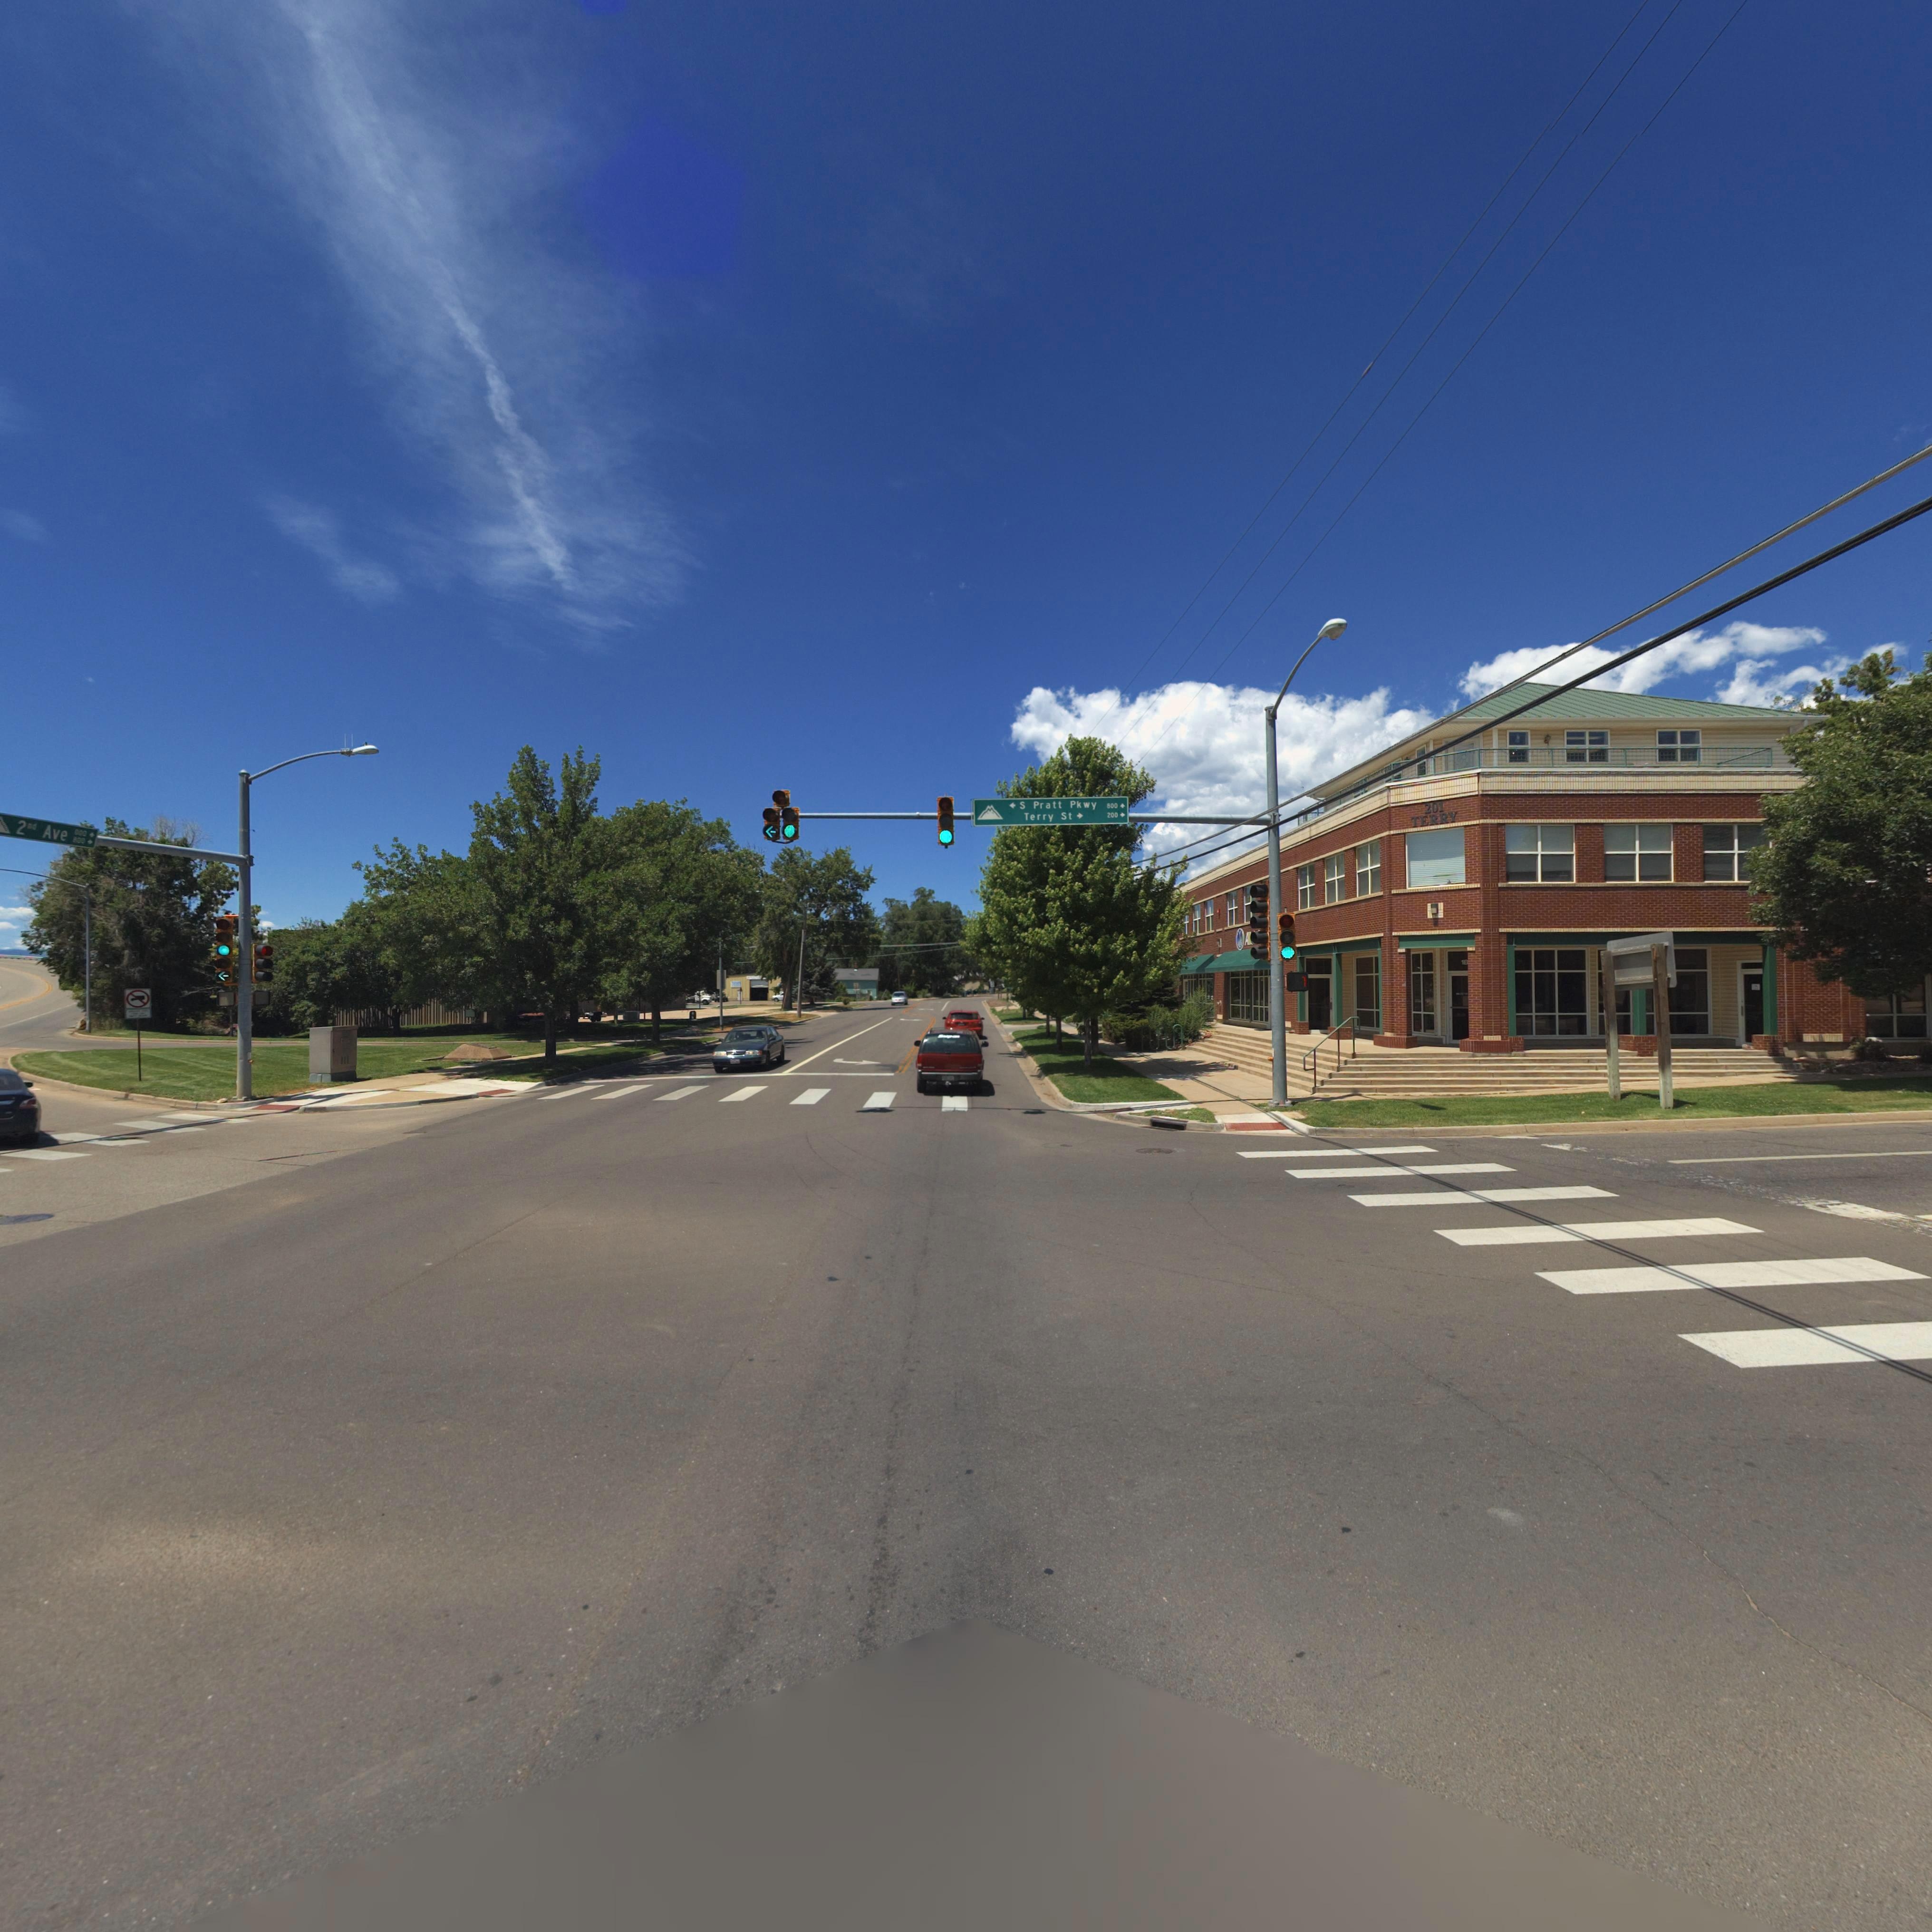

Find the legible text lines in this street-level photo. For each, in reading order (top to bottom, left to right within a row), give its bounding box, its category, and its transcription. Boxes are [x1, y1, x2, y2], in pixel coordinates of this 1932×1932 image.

[1019, 800, 1097, 810] StreetName: S Pratt Pkwy
[1106, 802, 1118, 809] StreetNumberRange: 800
[1424, 801, 1444, 814] StreetNumber: 201
[1023, 811, 1073, 822] StreetName: Terry St
[1107, 811, 1126, 818] StreetName: 200->
[1410, 811, 1458, 827] StreetName: TERRY
[15, 819, 68, 841] StreetName: 2nd Ave
[73, 828, 88, 837] StreetNumberRange: *00
[72, 835, 94, 845] StreetNumberRange: 800->
[1244, 931, 1250, 946] BusinessName: A
[1460, 958, 1464, 965] SecondaryUnitDesignator: 1